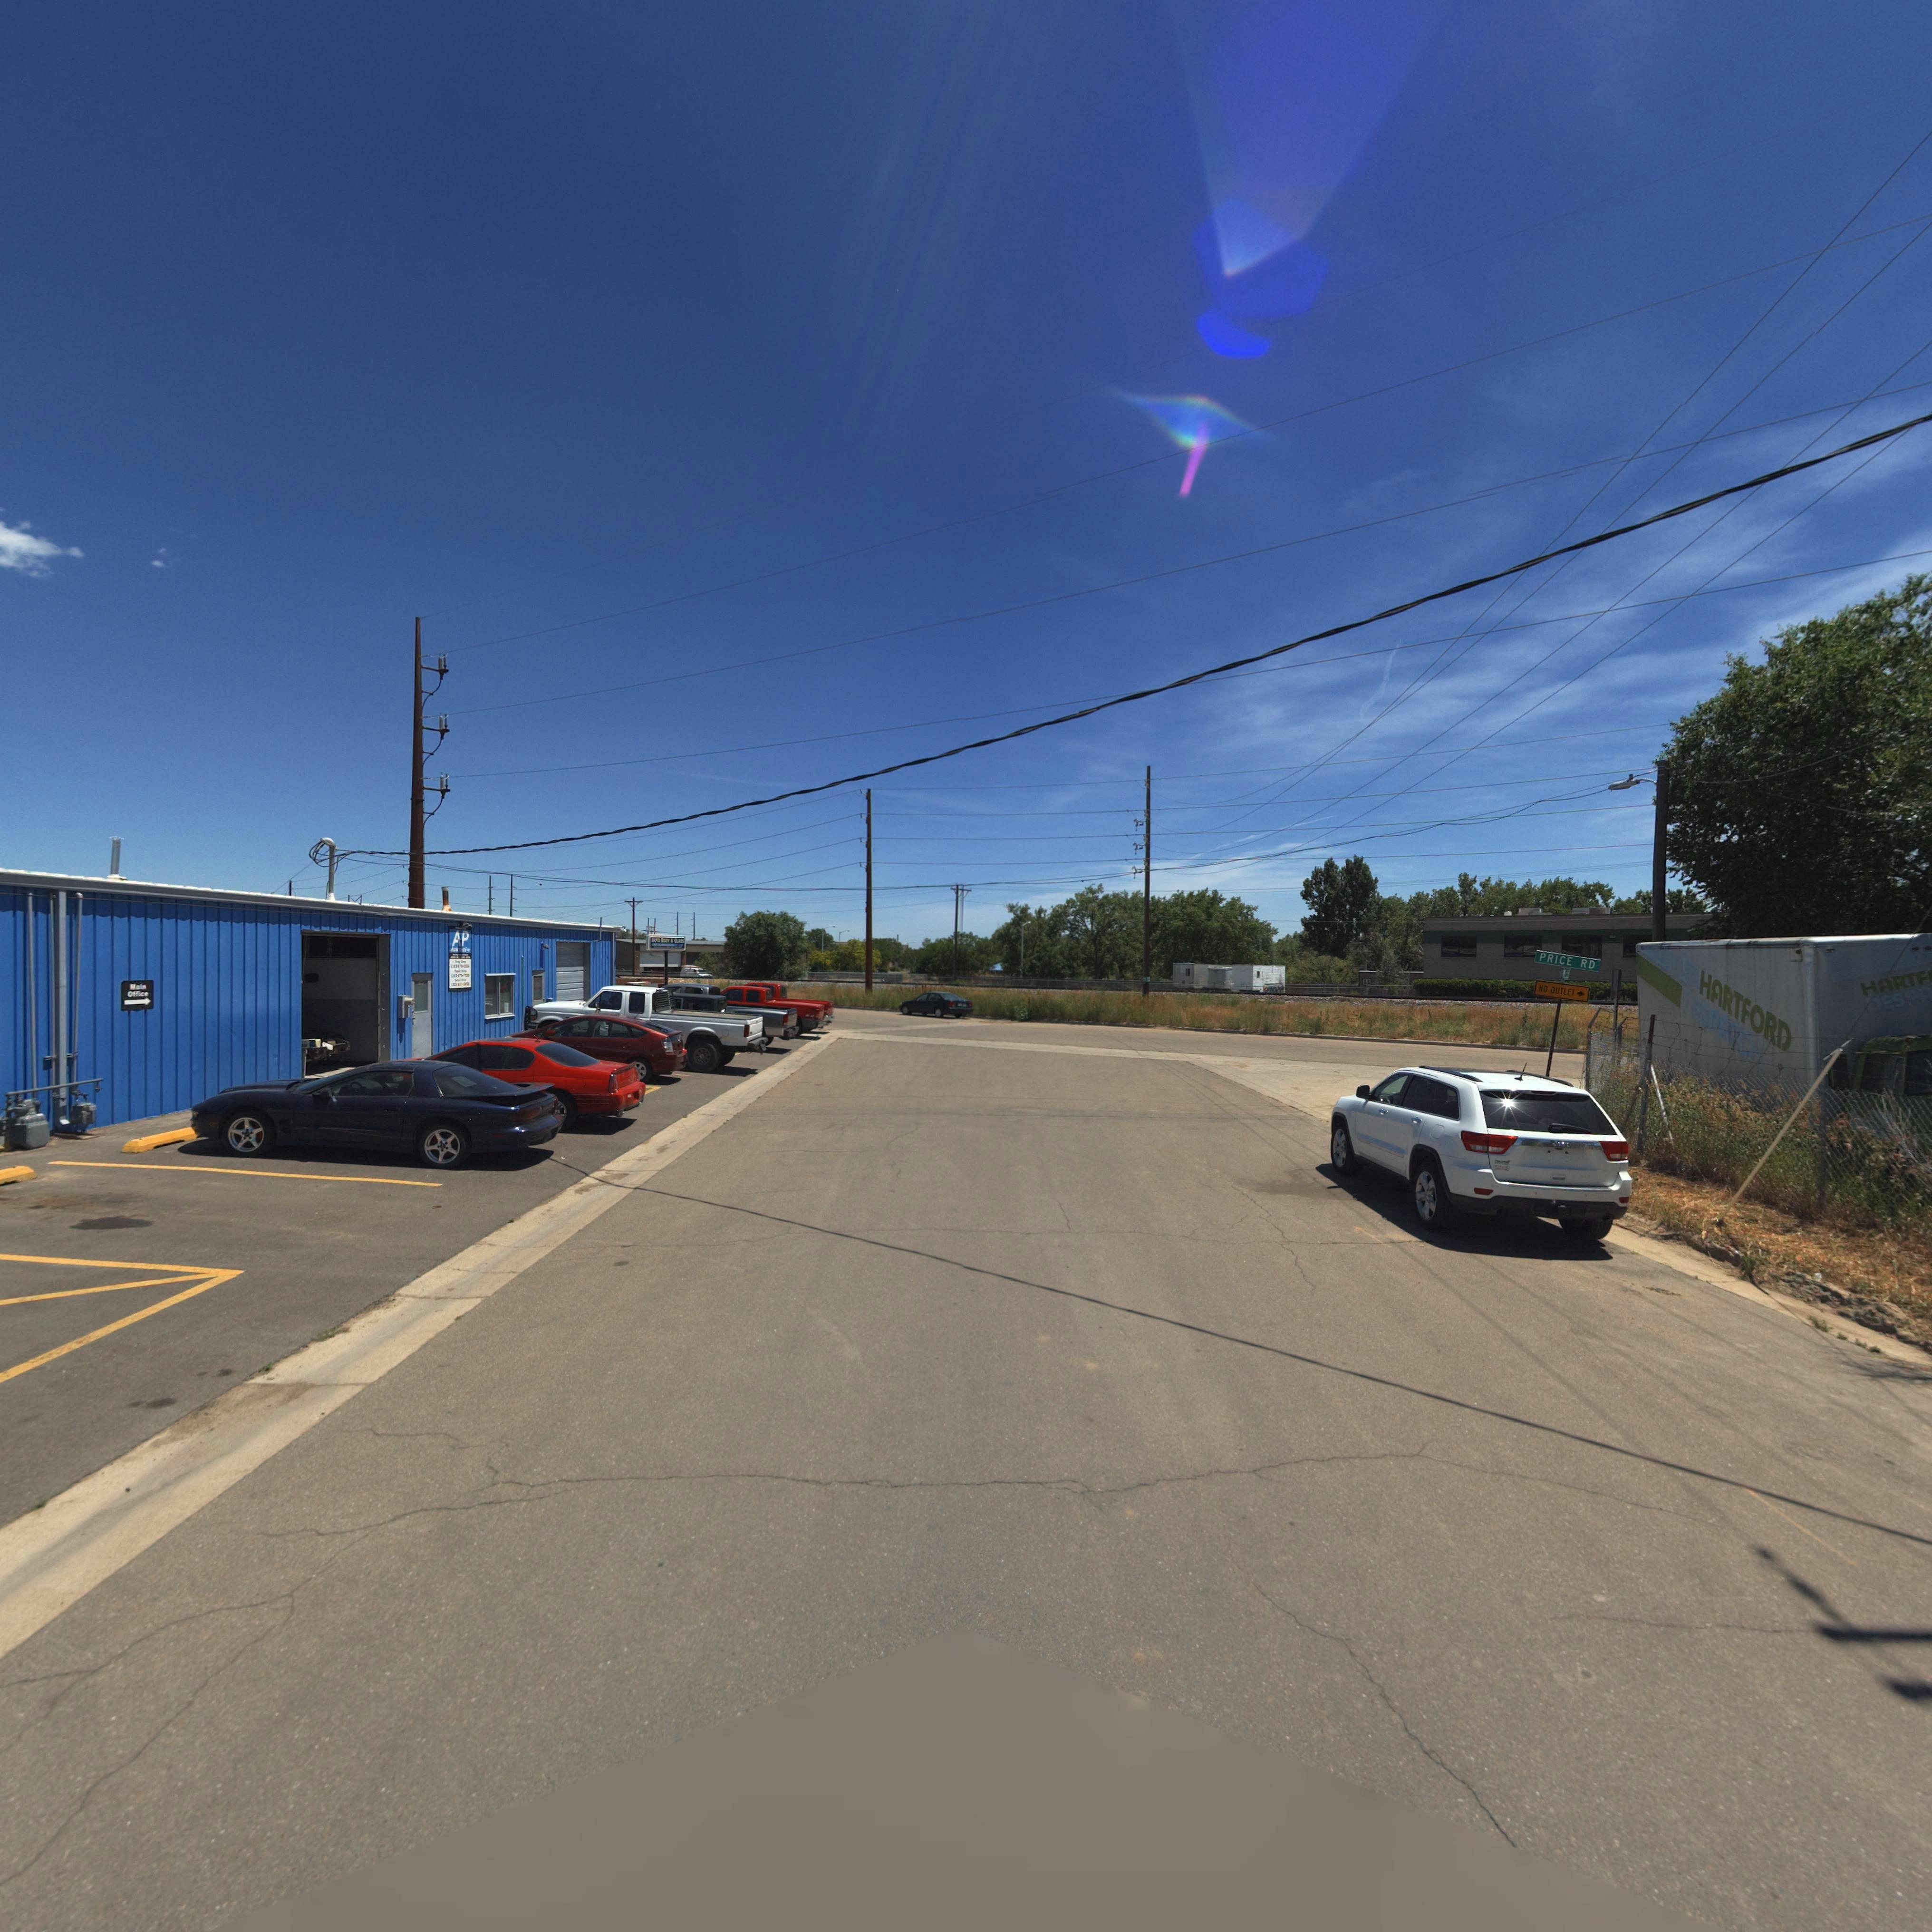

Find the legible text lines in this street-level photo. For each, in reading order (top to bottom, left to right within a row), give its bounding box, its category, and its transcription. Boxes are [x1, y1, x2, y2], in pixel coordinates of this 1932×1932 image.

[451, 929, 469, 946] BusinessName: AP
[651, 937, 684, 943] BusinessName: AU*O B**Y * GLA**
[653, 943, 677, 946] BusinessName: AP **********
[450, 947, 470, 952] BusinessName: A**o******
[1539, 952, 1595, 969] StreetName: PRICE RD